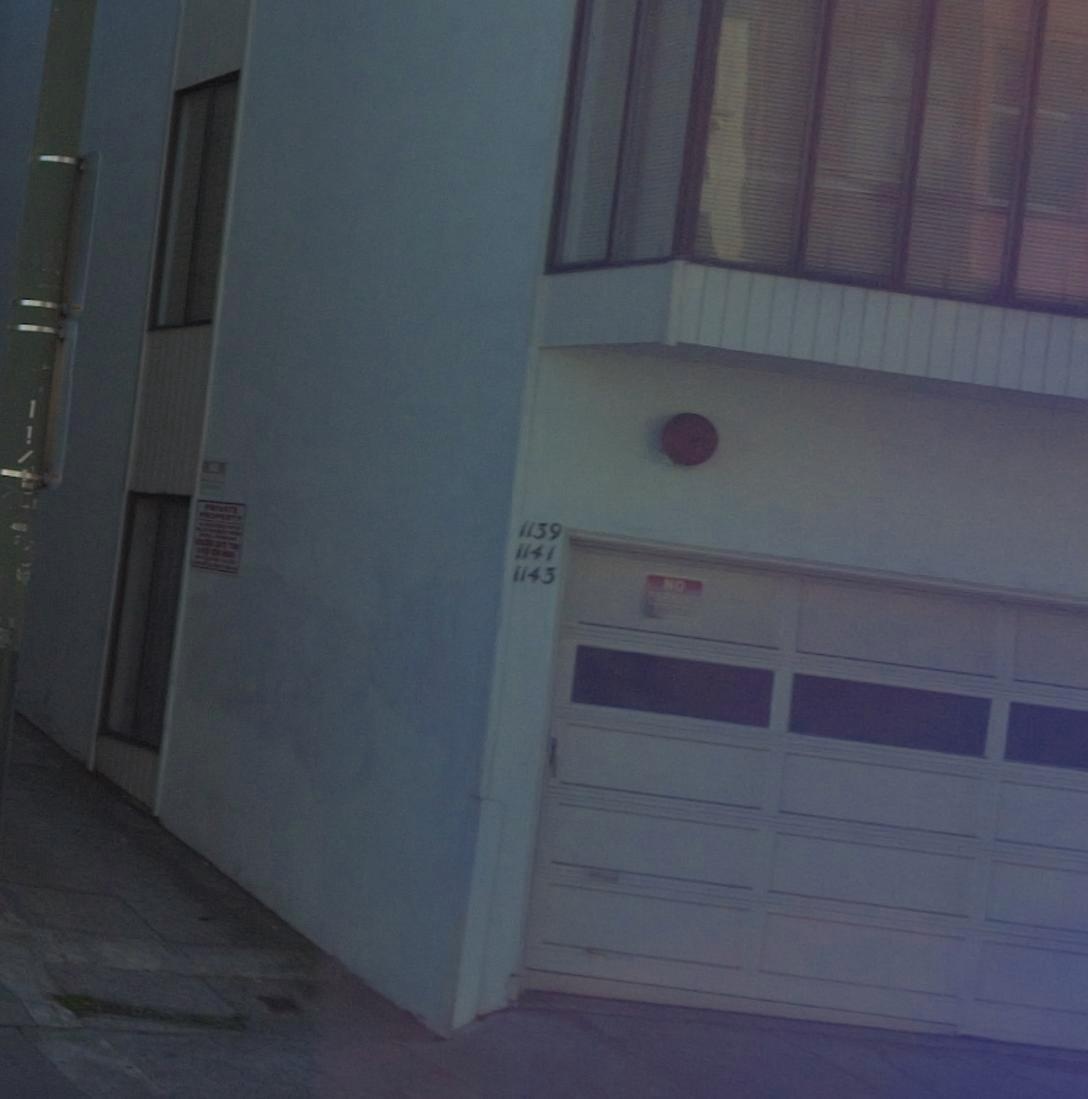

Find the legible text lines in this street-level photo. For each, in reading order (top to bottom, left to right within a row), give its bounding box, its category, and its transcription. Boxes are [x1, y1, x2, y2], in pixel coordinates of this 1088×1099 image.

[202, 503, 238, 514] None: PRIVATE
[197, 510, 243, 522] None: PROPERTY
[516, 520, 566, 541] StreetNumber: 1139
[512, 541, 559, 562] StreetNumber: 1141
[511, 563, 558, 586] StreetNumber: 1143
[661, 576, 687, 595] None: NO